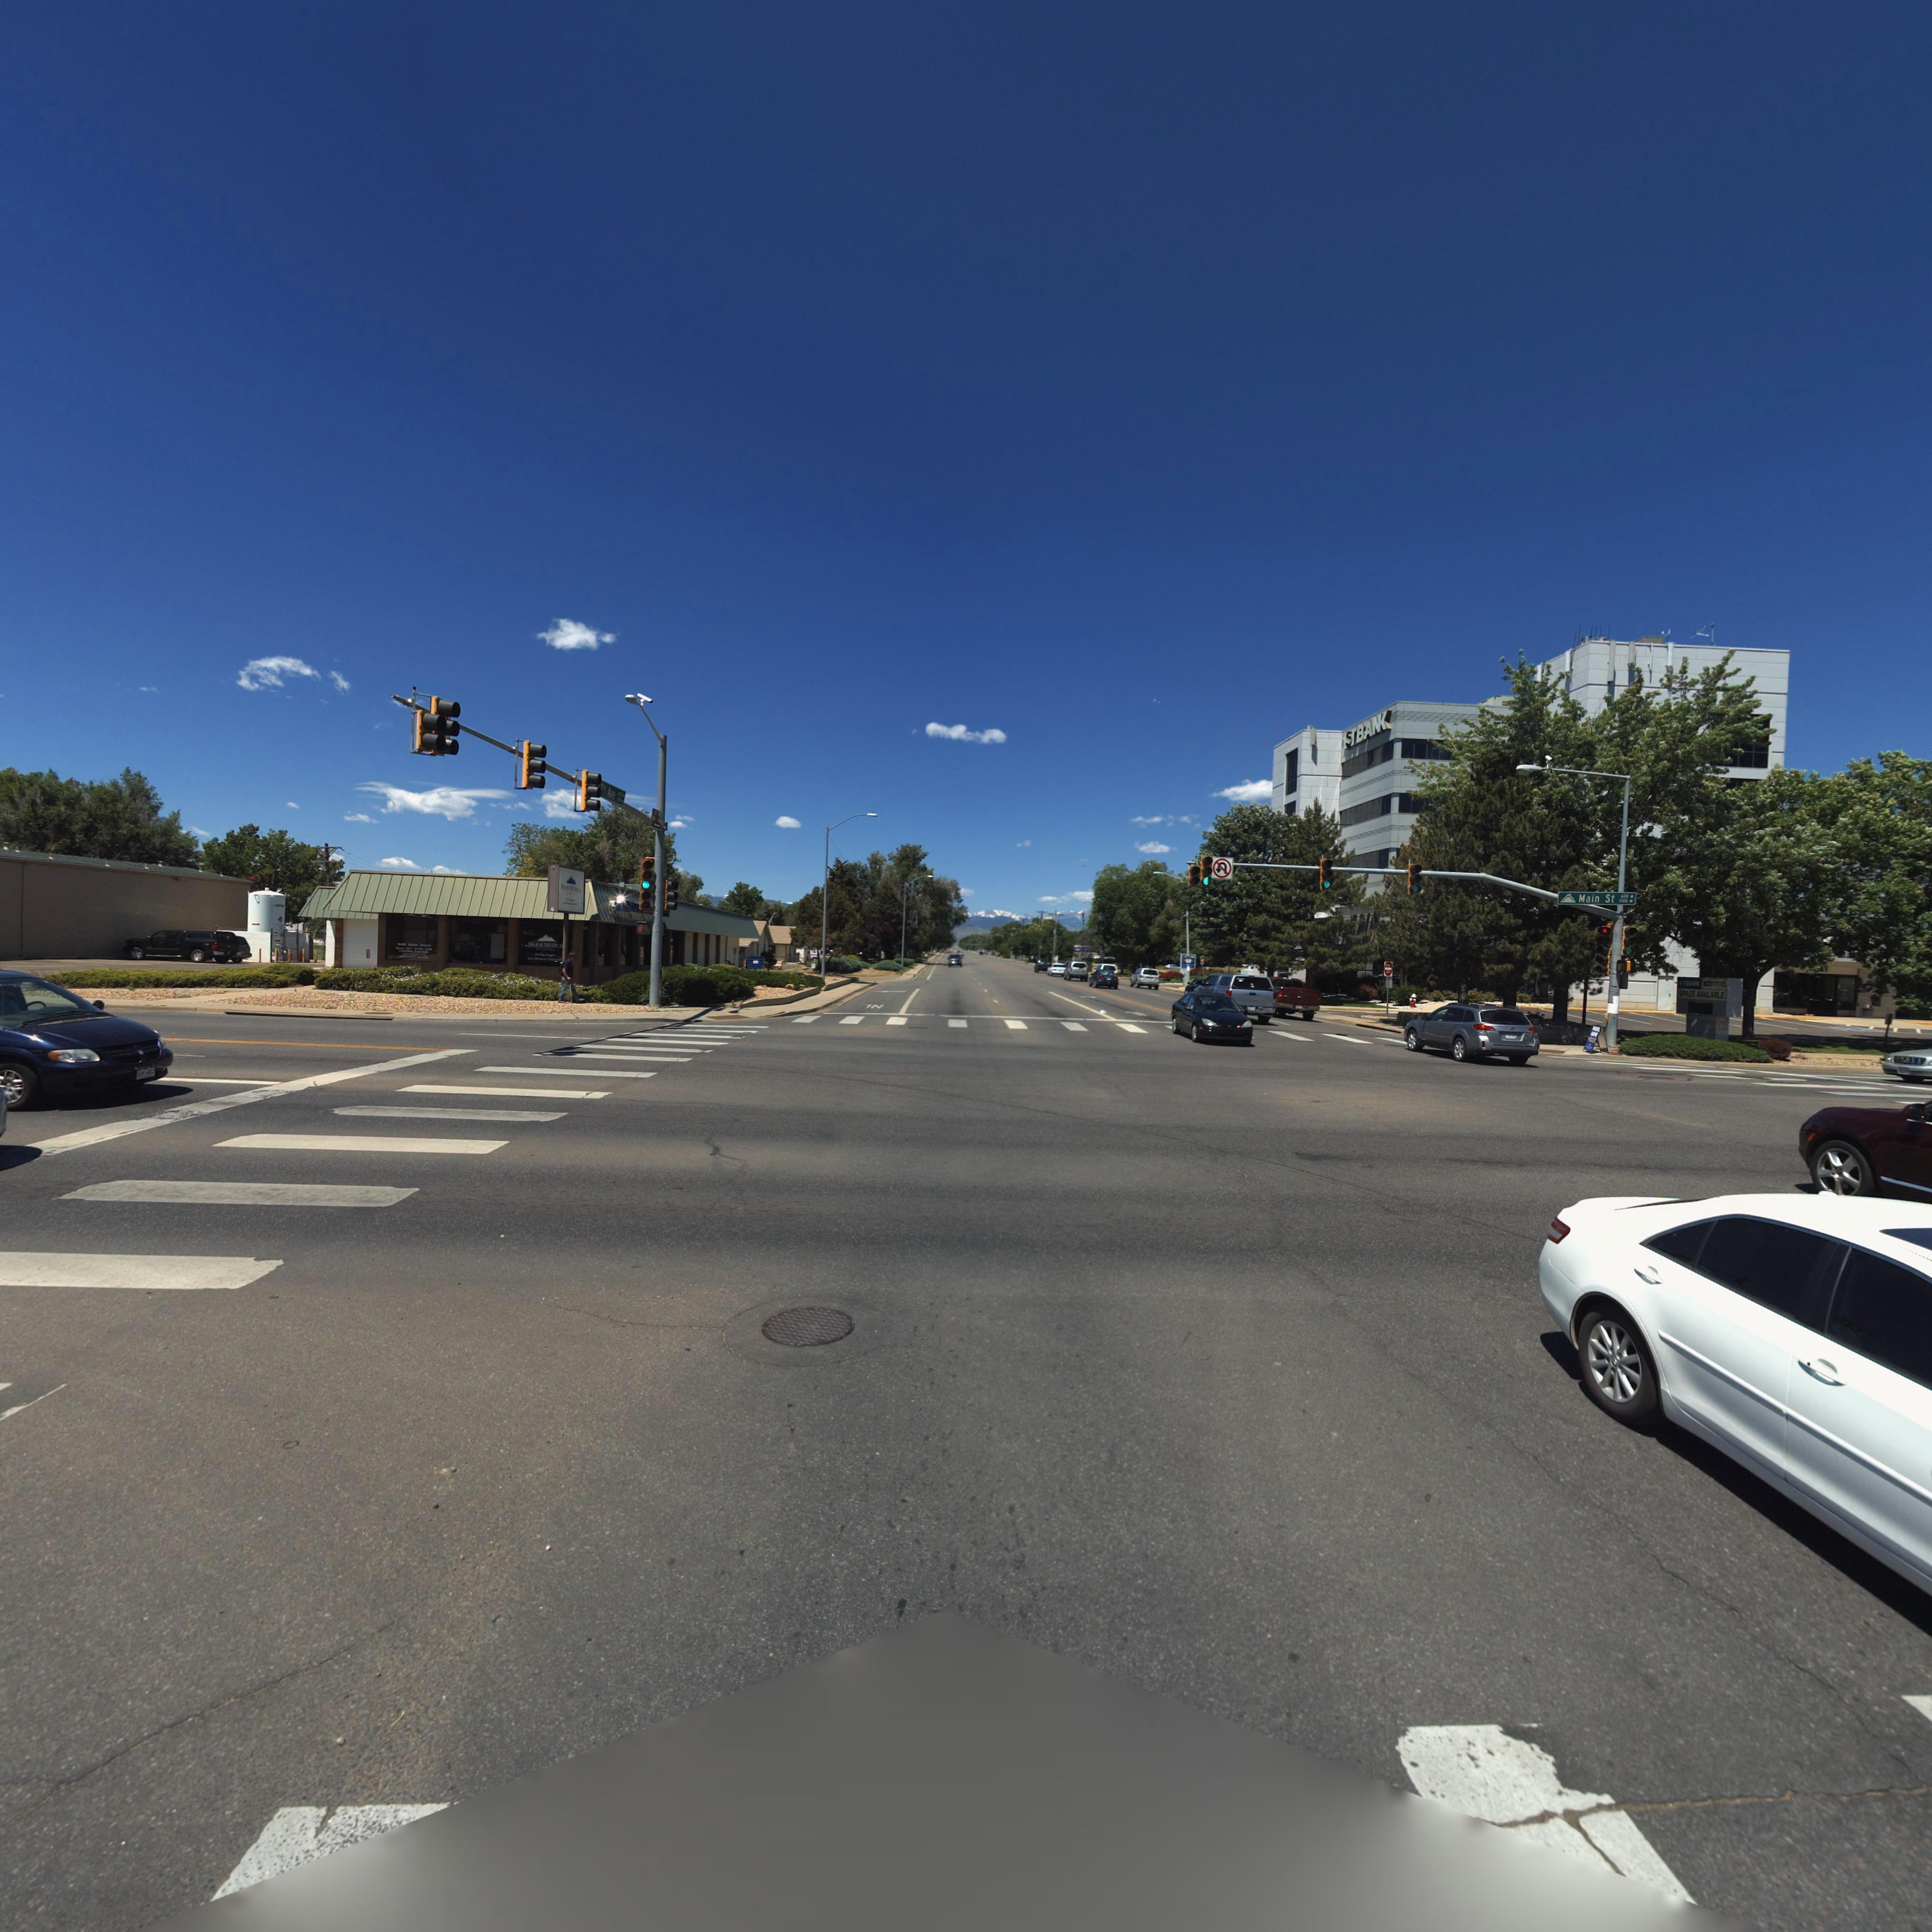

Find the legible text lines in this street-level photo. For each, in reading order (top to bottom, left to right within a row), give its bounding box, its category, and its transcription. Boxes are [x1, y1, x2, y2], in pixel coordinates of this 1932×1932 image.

[1342, 708, 1388, 750] BusinessName: 1STBAN*
[605, 786, 616, 800] StreetName: Ave
[560, 883, 581, 892] BusinessName: MAJOR MEDICAL
[1578, 893, 1615, 903] StreetName: Main St
[1620, 894, 1629, 898] StreetNumberRange: 600
[1618, 898, 1633, 903] StreetNumberRange: 1**0->
[397, 943, 406, 946] StreetNumber: 1**0
[407, 943, 431, 947] StreetName: Main Street
[528, 941, 562, 947] BusinessName: MAJOR MEDICA
[536, 947, 555, 952] BusinessName: SUPPLY
[1678, 979, 1700, 987] BusinessName: 1S*BAN*